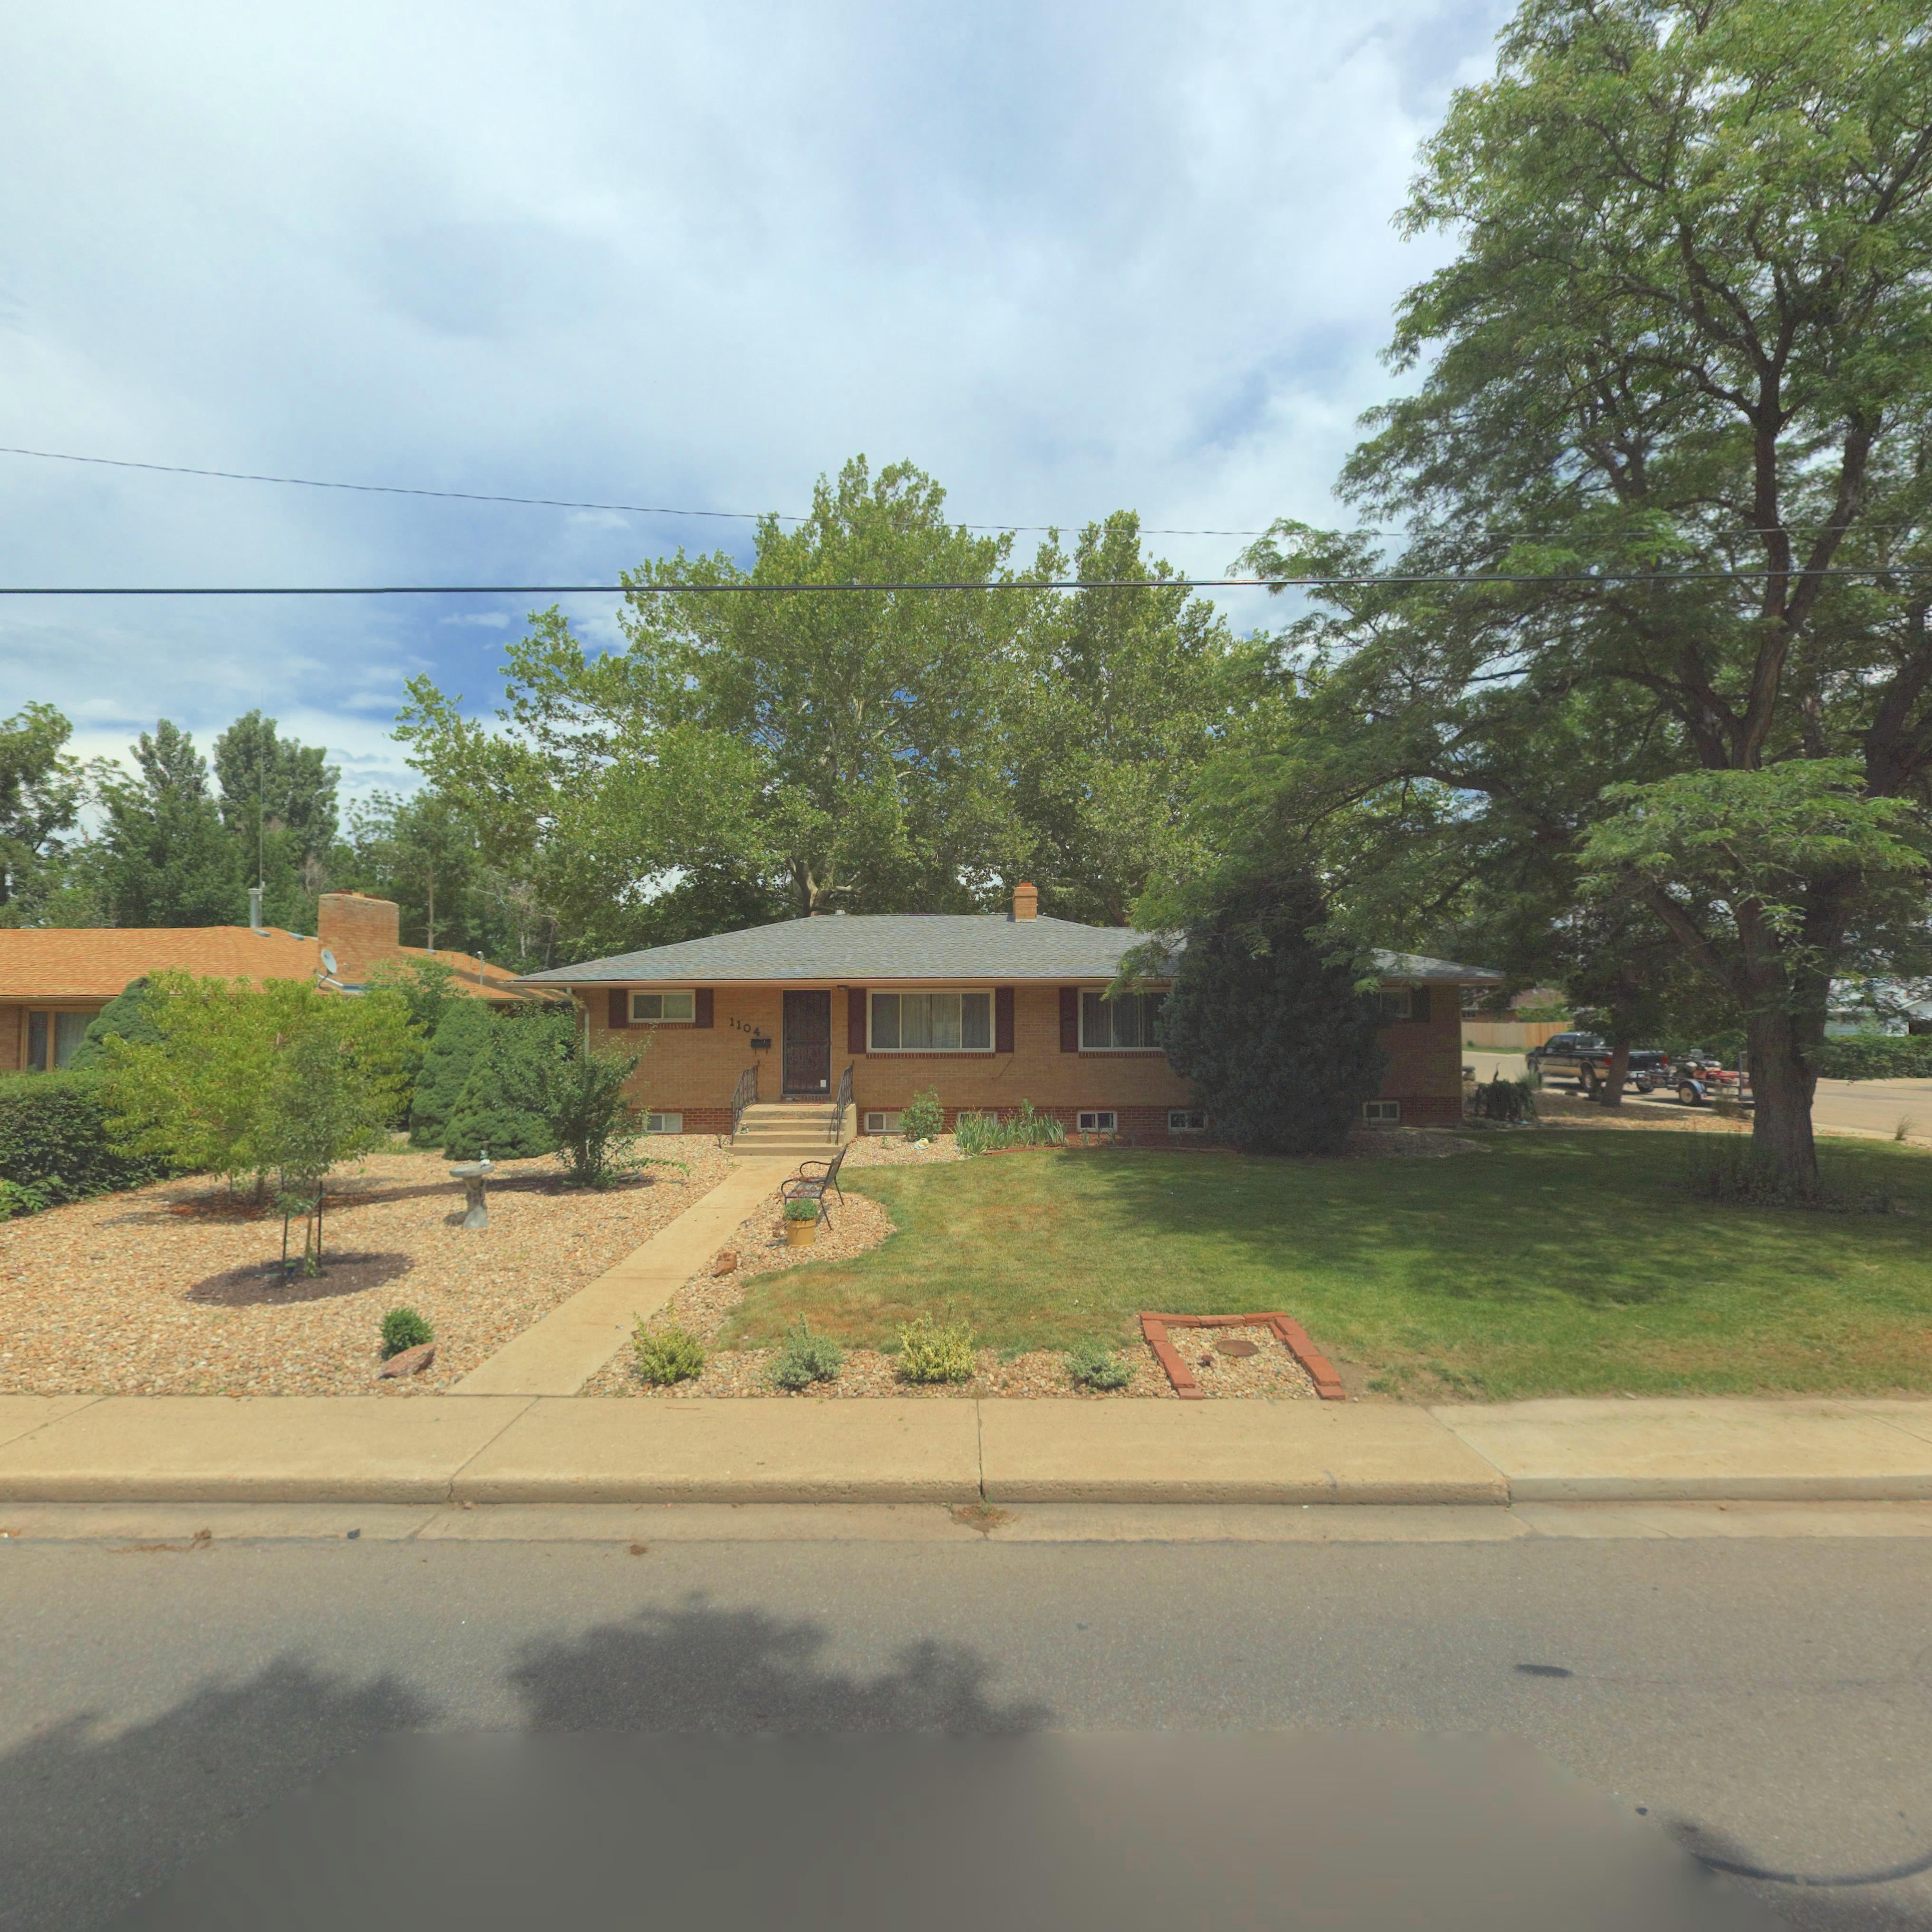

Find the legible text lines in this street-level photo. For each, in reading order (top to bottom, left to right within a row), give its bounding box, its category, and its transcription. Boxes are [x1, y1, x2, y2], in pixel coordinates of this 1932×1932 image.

[729, 1017, 760, 1037] StreetNumber: 1104